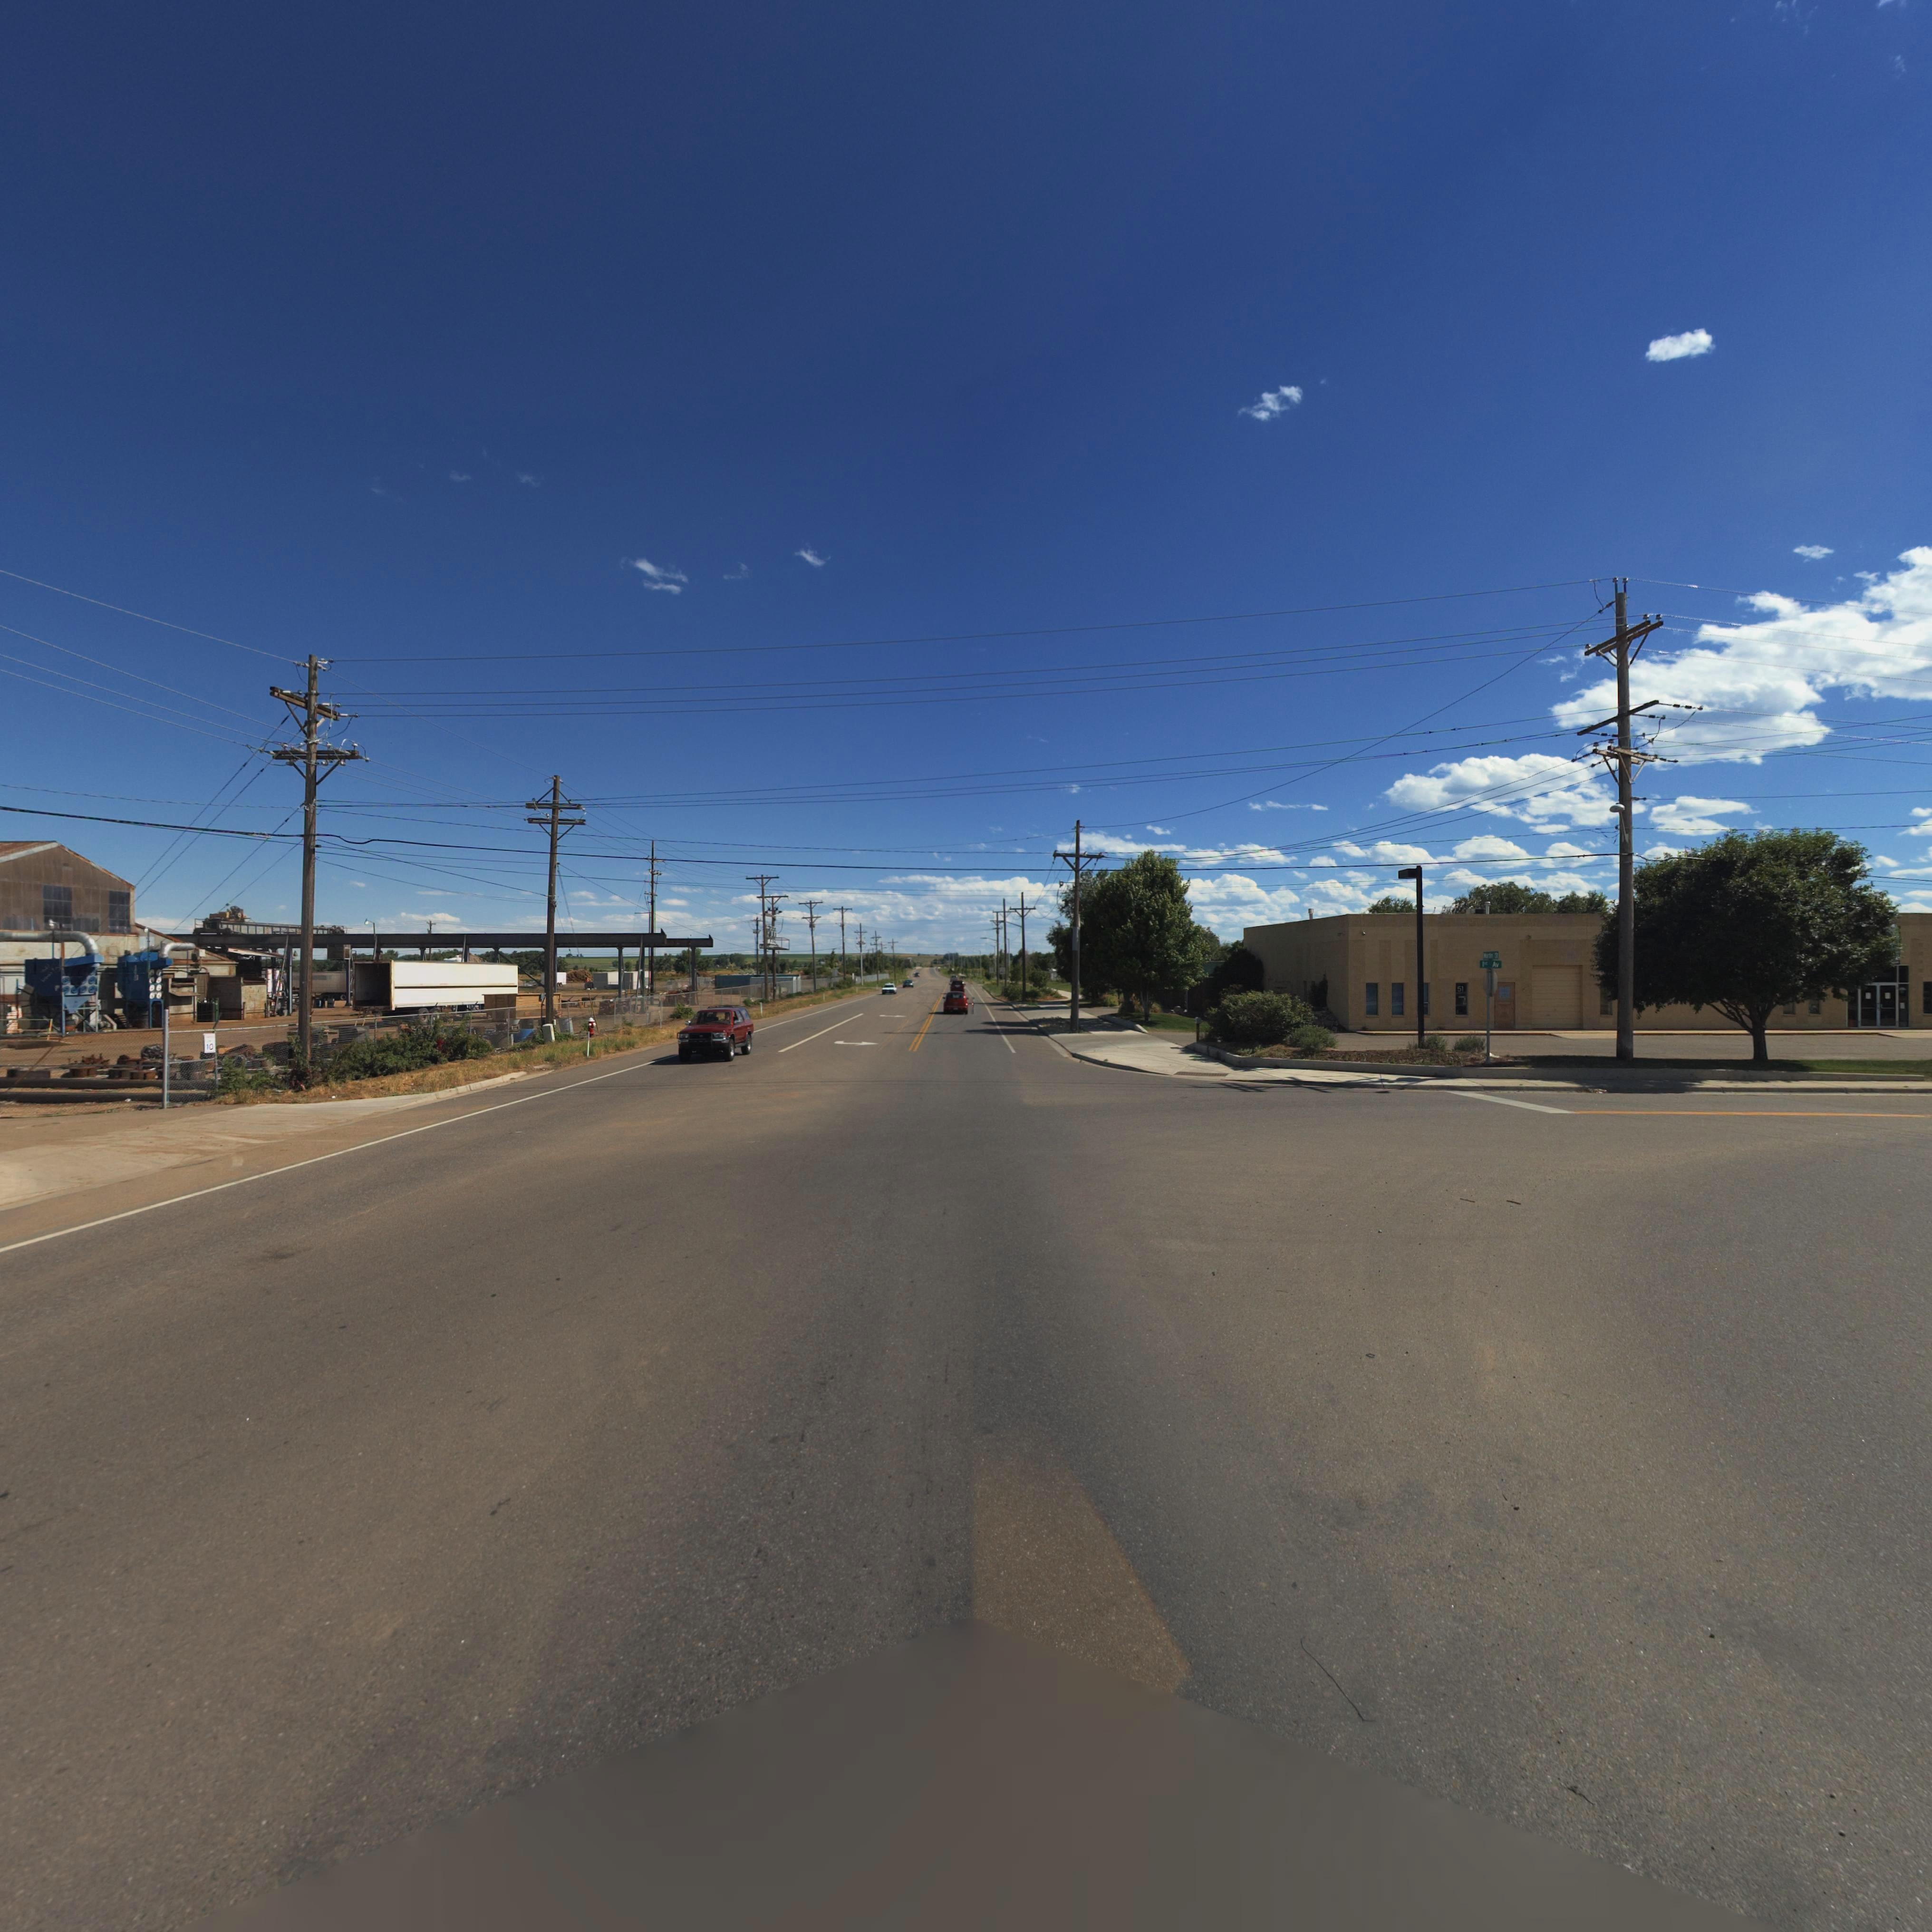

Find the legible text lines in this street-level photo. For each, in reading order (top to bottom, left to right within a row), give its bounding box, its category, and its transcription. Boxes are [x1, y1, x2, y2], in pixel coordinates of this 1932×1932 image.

[1483, 953, 1498, 959] StreetName: **t*n S*
[1482, 961, 1499, 967] StreetName: 1** Av